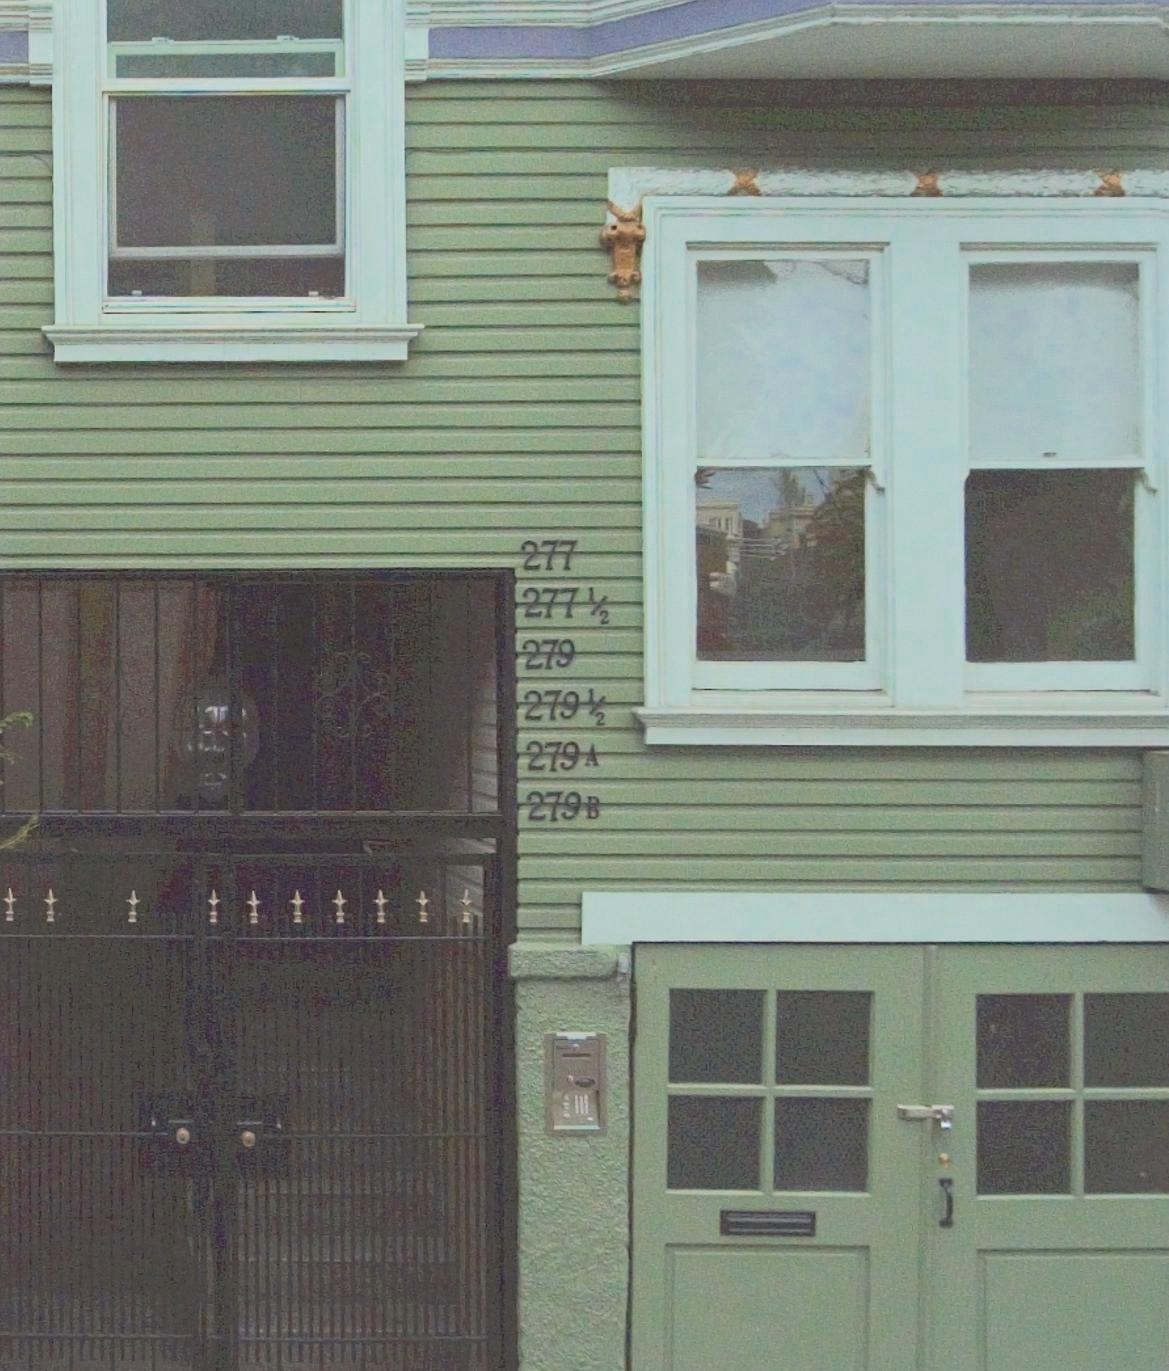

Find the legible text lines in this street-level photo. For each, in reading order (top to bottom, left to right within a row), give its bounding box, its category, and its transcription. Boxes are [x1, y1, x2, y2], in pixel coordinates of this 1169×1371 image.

[517, 536, 581, 574] StreetNumber: 277
[519, 583, 616, 626] StreetNumber: 277 1/2
[518, 634, 579, 674] StreetNumber: 279
[520, 685, 611, 729] StreetNumber: 279 1/2
[523, 737, 603, 775] StreetNumber: 279 A
[523, 788, 604, 826] StreetNumber: 279 B